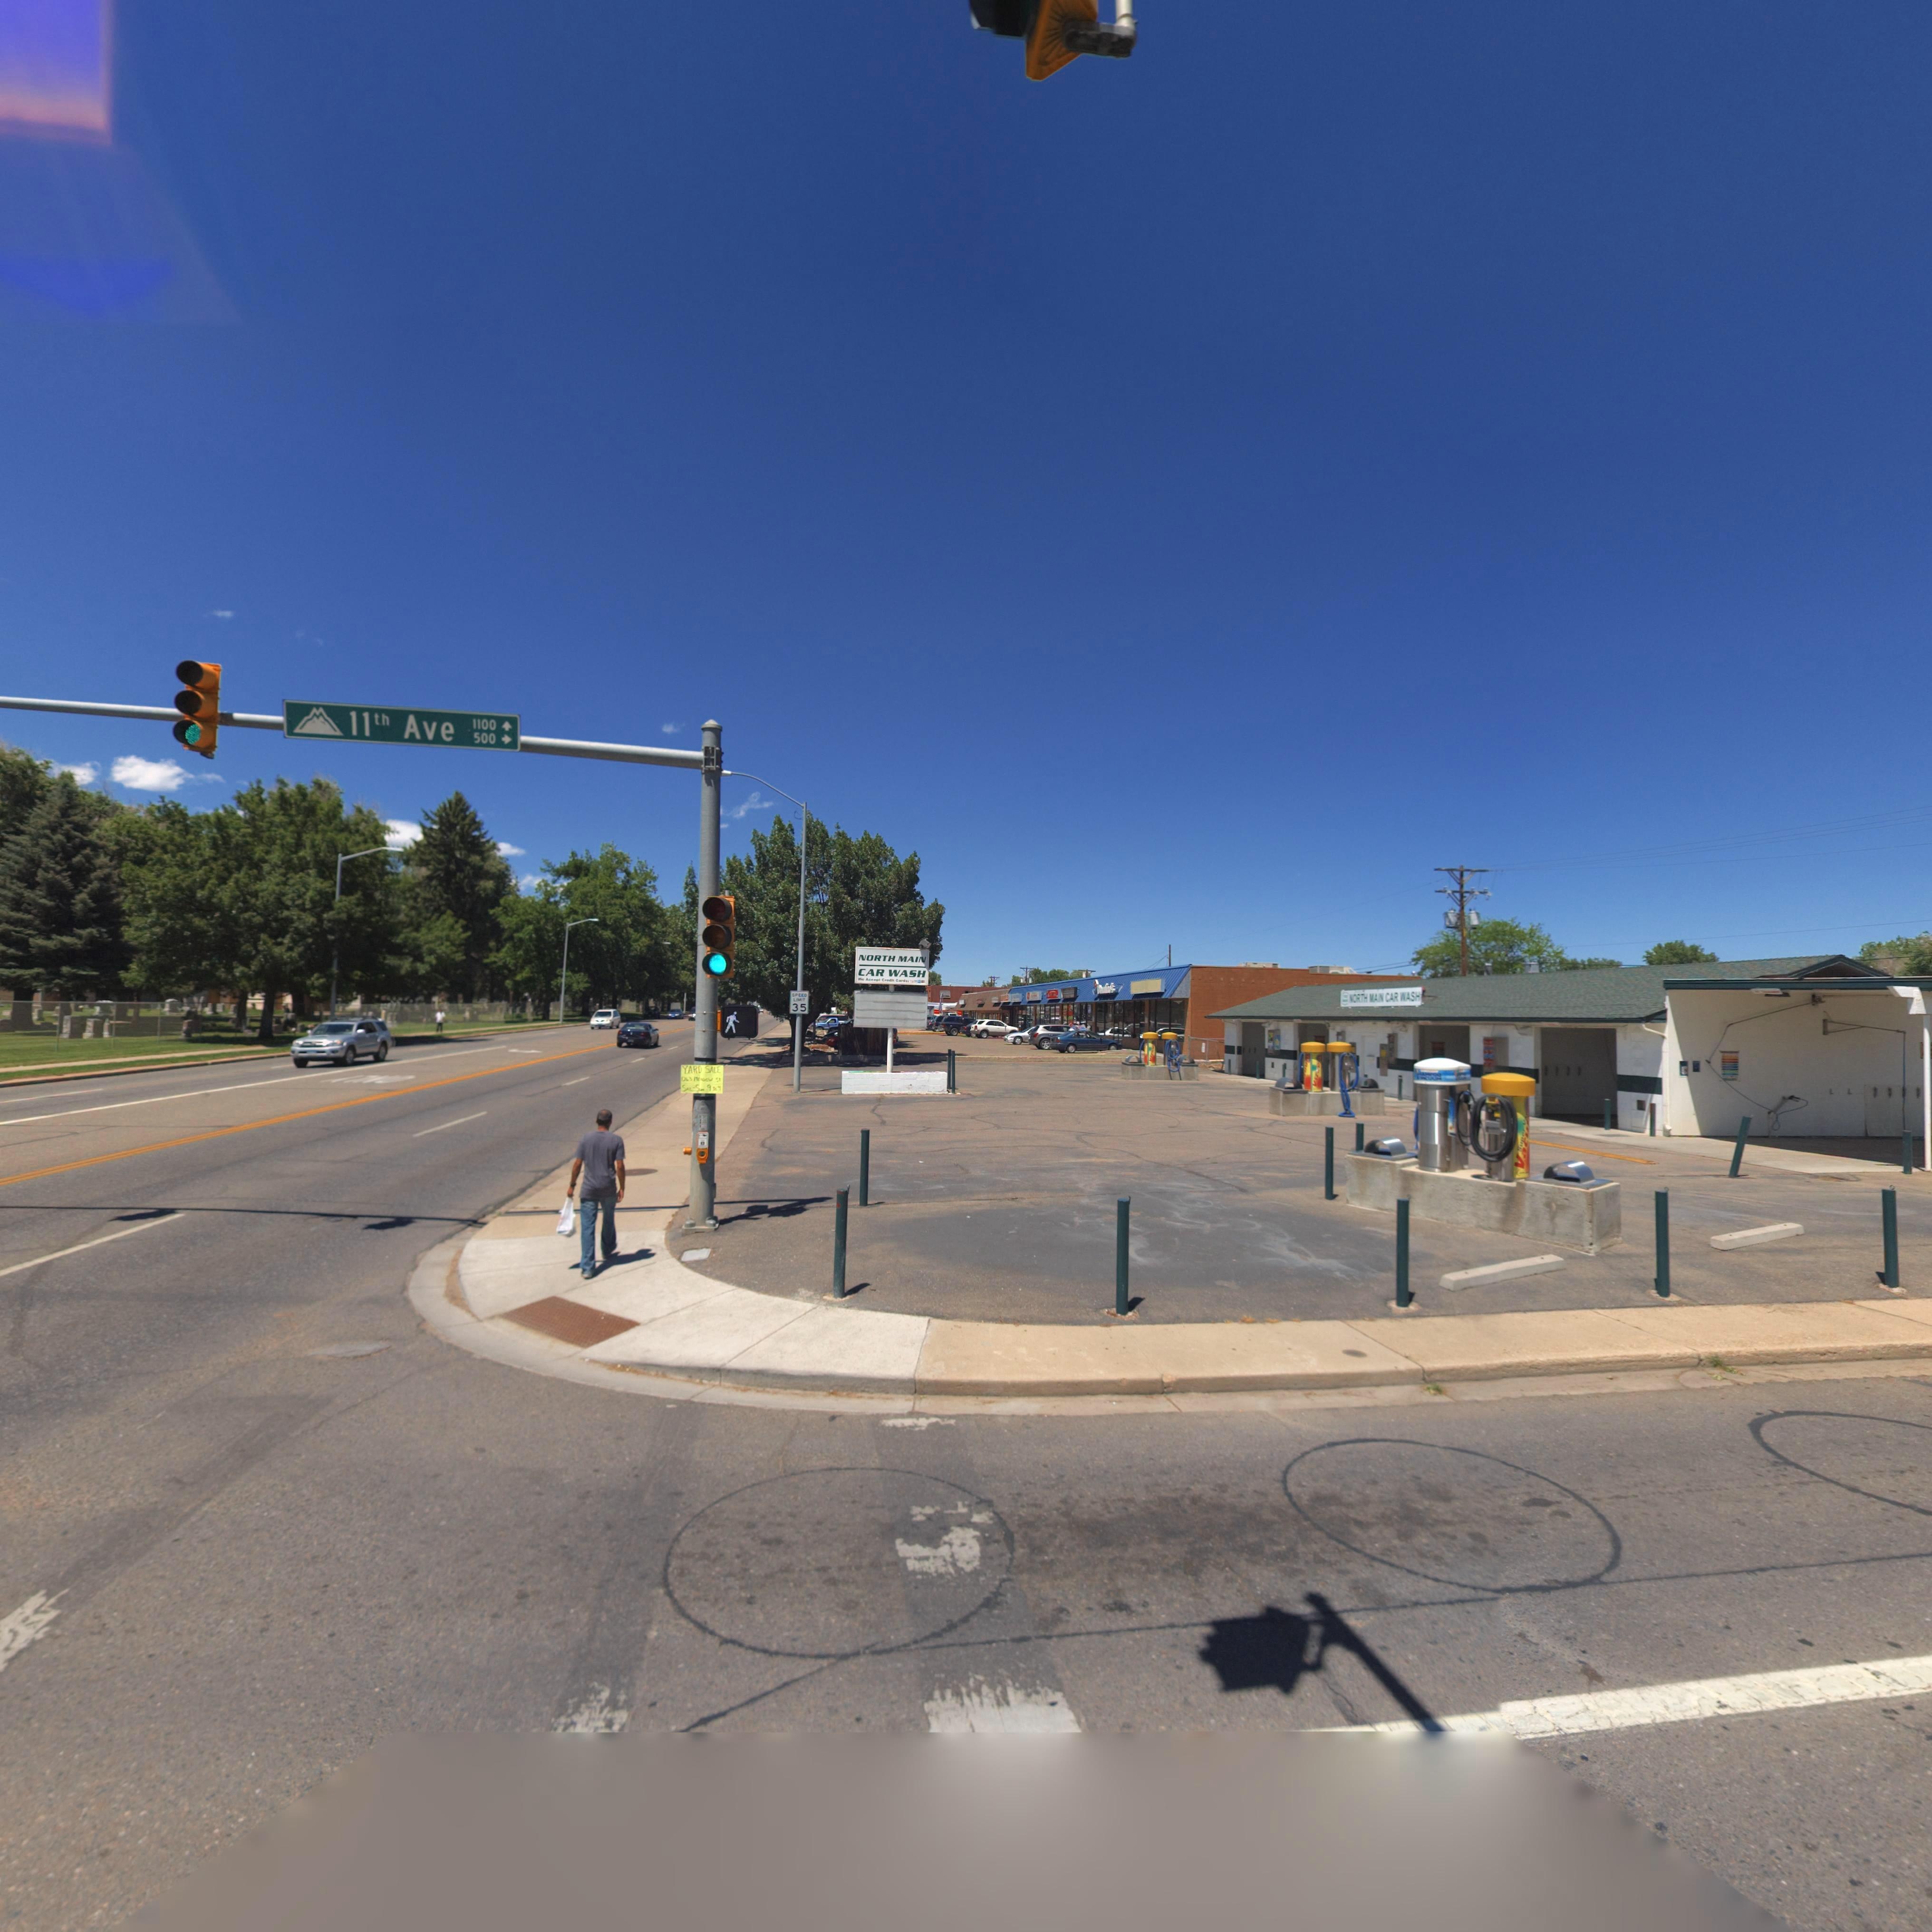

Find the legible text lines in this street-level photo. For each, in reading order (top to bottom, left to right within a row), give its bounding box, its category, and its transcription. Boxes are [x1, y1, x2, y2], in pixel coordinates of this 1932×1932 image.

[349, 710, 455, 743] StreetName: 11th Ave
[472, 718, 497, 730] StreetNumber: 1100
[473, 732, 513, 745] StreetNumberRange: 500->
[858, 954, 927, 962] BusinessName: NORTH MAIN
[858, 968, 927, 978] BusinessName: CAR WASH
[1096, 982, 1116, 995] BusinessName: D*****'s
[1348, 991, 1421, 1003] BusinessName: NORTH MAIN CAR WASH